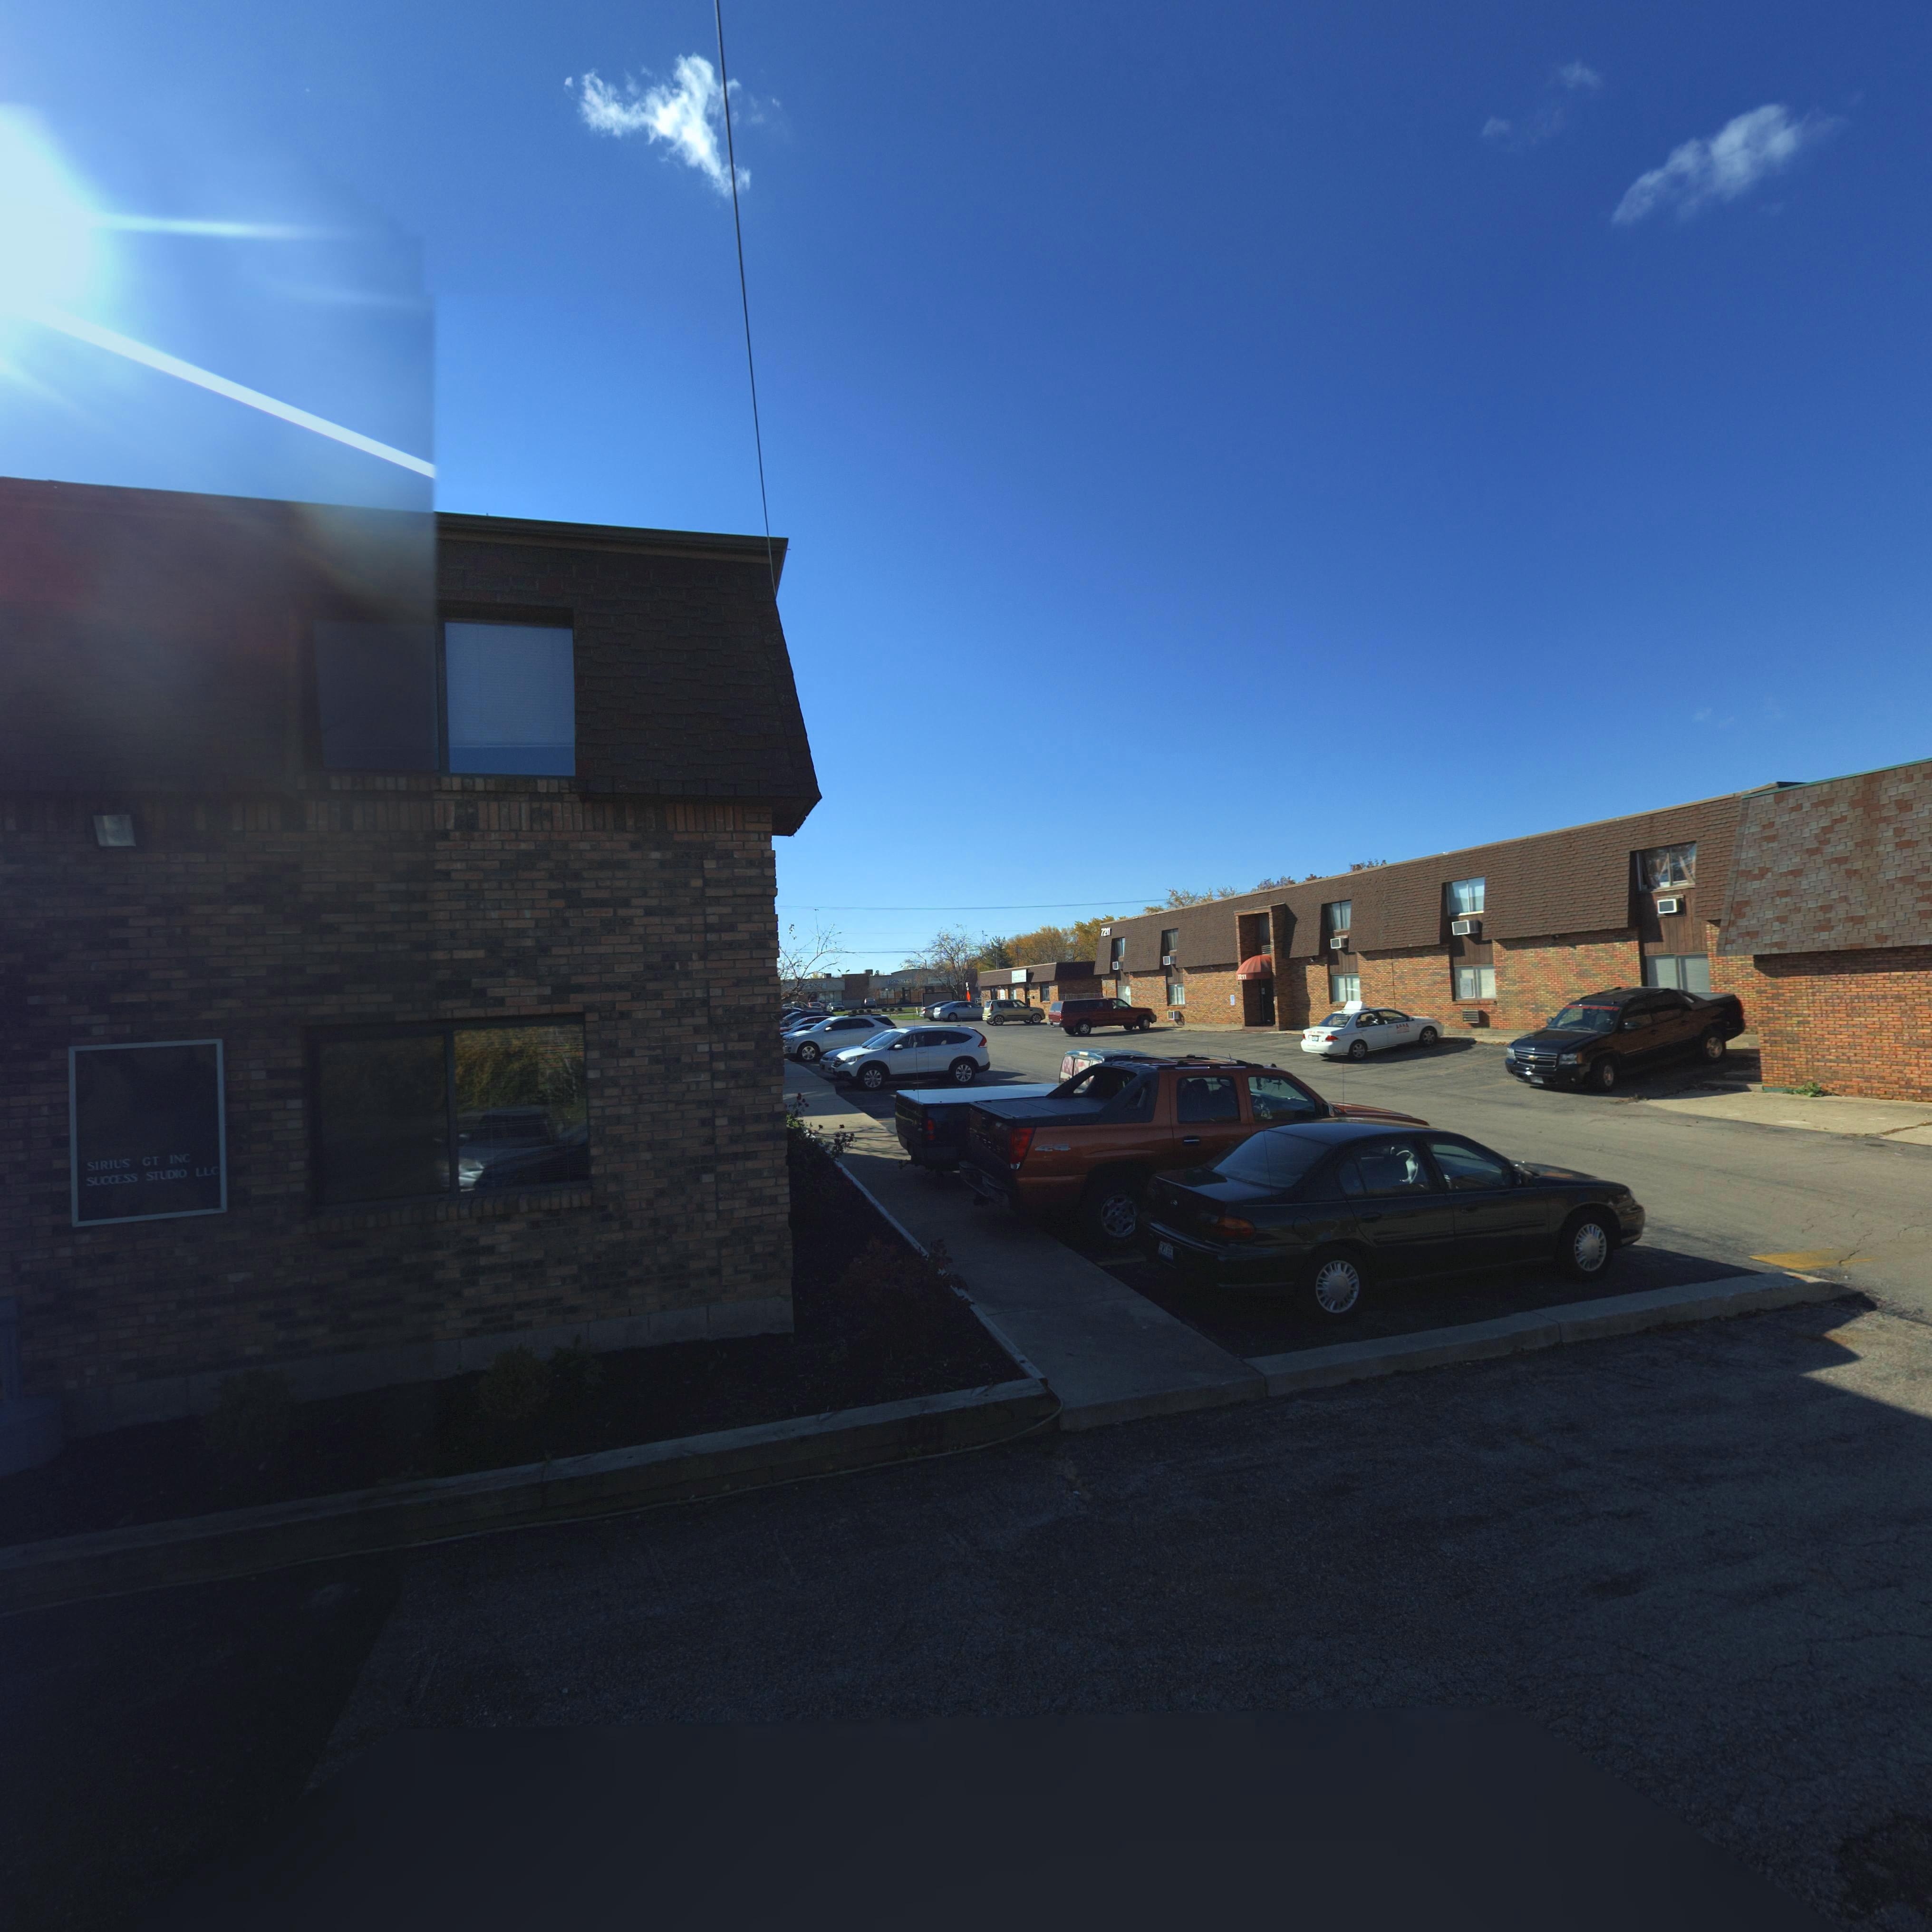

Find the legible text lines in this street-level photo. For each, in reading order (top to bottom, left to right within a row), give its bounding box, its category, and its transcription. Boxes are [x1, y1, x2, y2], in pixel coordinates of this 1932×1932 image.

[1236, 974, 1247, 980] StreetNumber: 7211
[86, 1152, 193, 1172] BusinessName: SIRIUS GT INC
[86, 1165, 220, 1188] BusinessName: SUCCESS STUDIO LLC